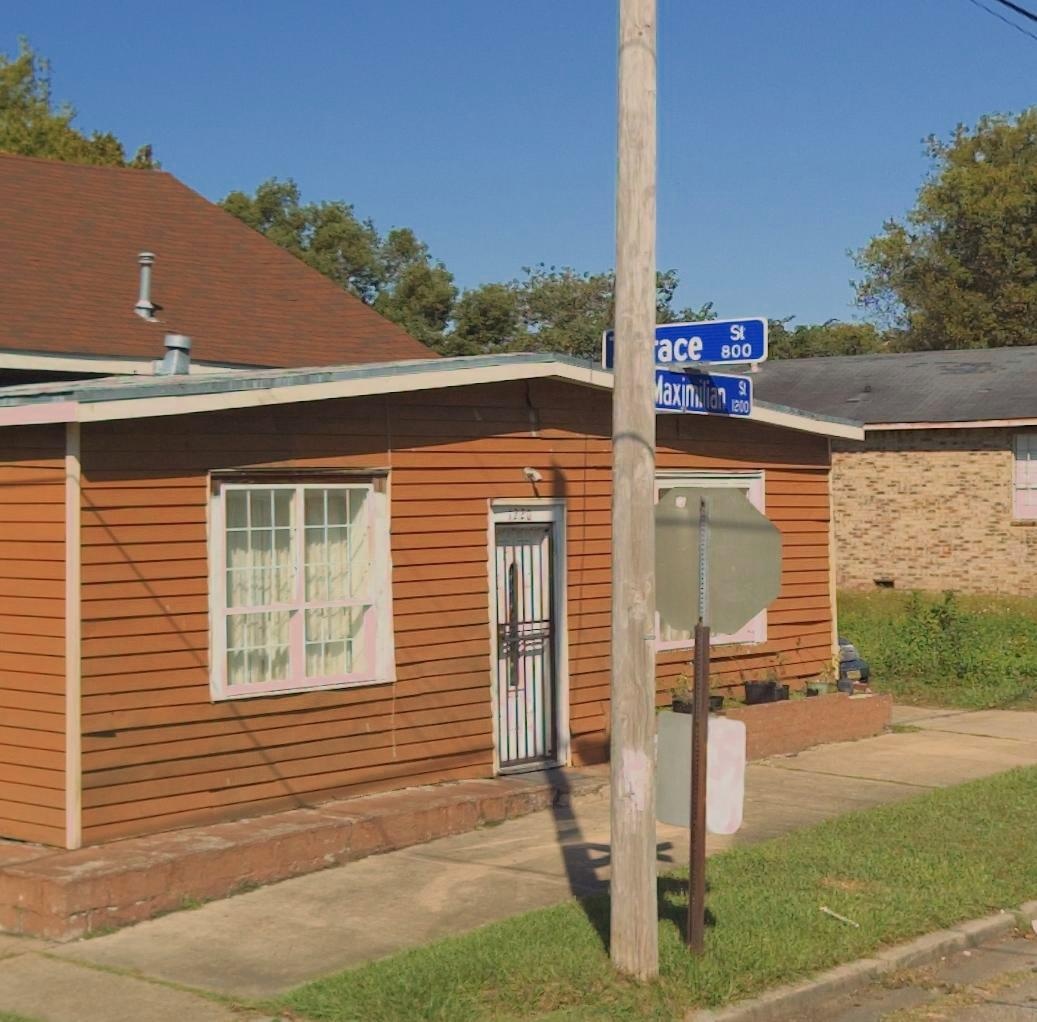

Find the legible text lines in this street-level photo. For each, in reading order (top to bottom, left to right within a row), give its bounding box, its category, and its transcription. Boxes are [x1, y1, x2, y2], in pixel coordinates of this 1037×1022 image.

[655, 320, 749, 365] StreetName: ace St
[718, 342, 754, 361] StreetNumberRange: 800
[661, 372, 749, 413] StreetName: aximilian St
[730, 397, 750, 415] StreetNumberRange: 12*0
[506, 507, 533, 522] StreetNumber: 1220